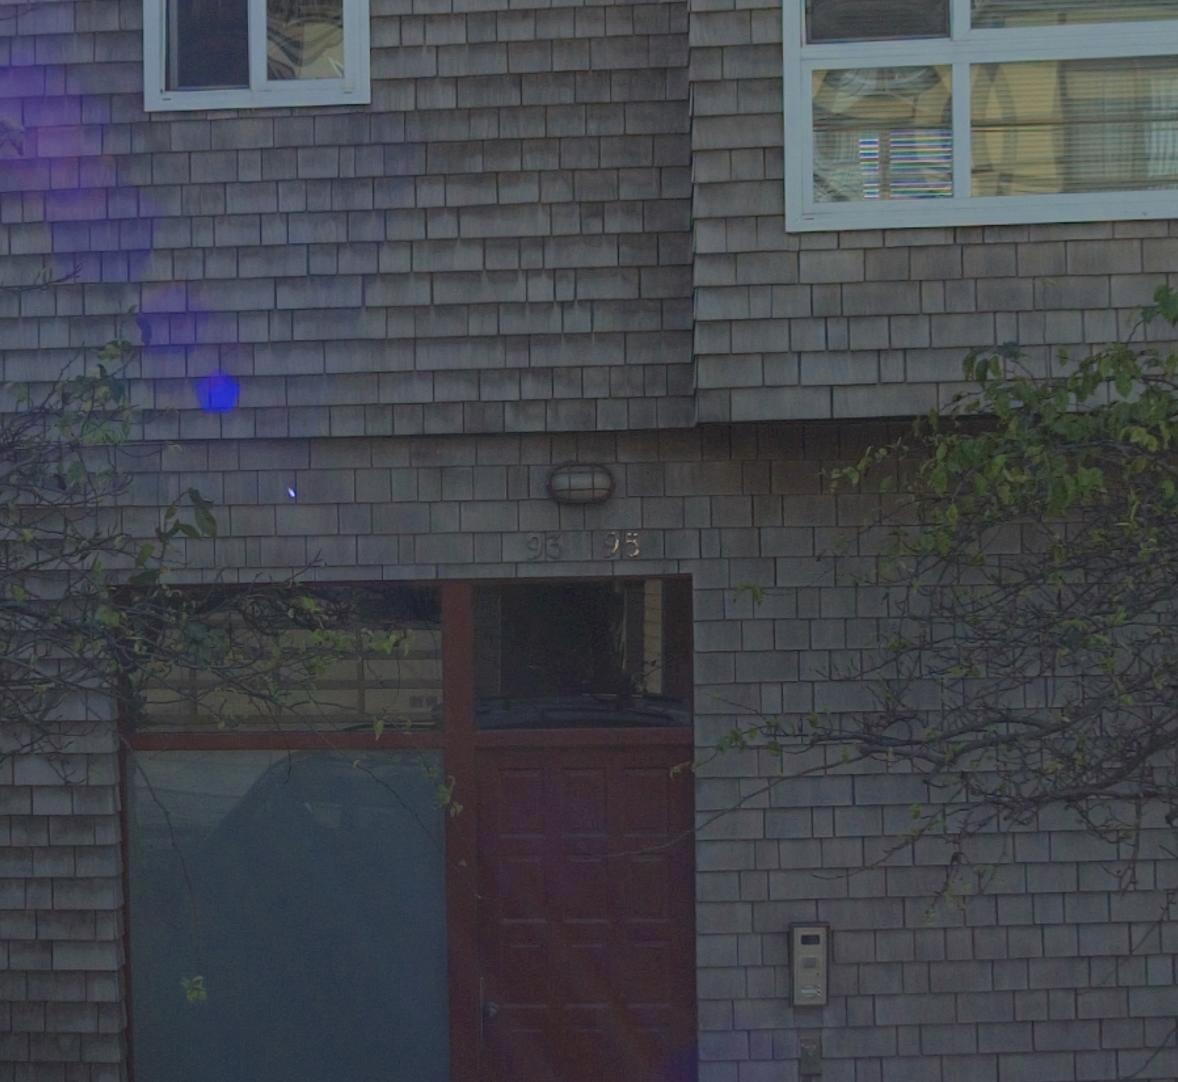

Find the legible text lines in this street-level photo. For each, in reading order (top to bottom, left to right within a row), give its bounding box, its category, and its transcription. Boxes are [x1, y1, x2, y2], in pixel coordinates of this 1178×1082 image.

[524, 531, 568, 562] StreetNumber: 93
[598, 529, 642, 558] StreetNumber: 95